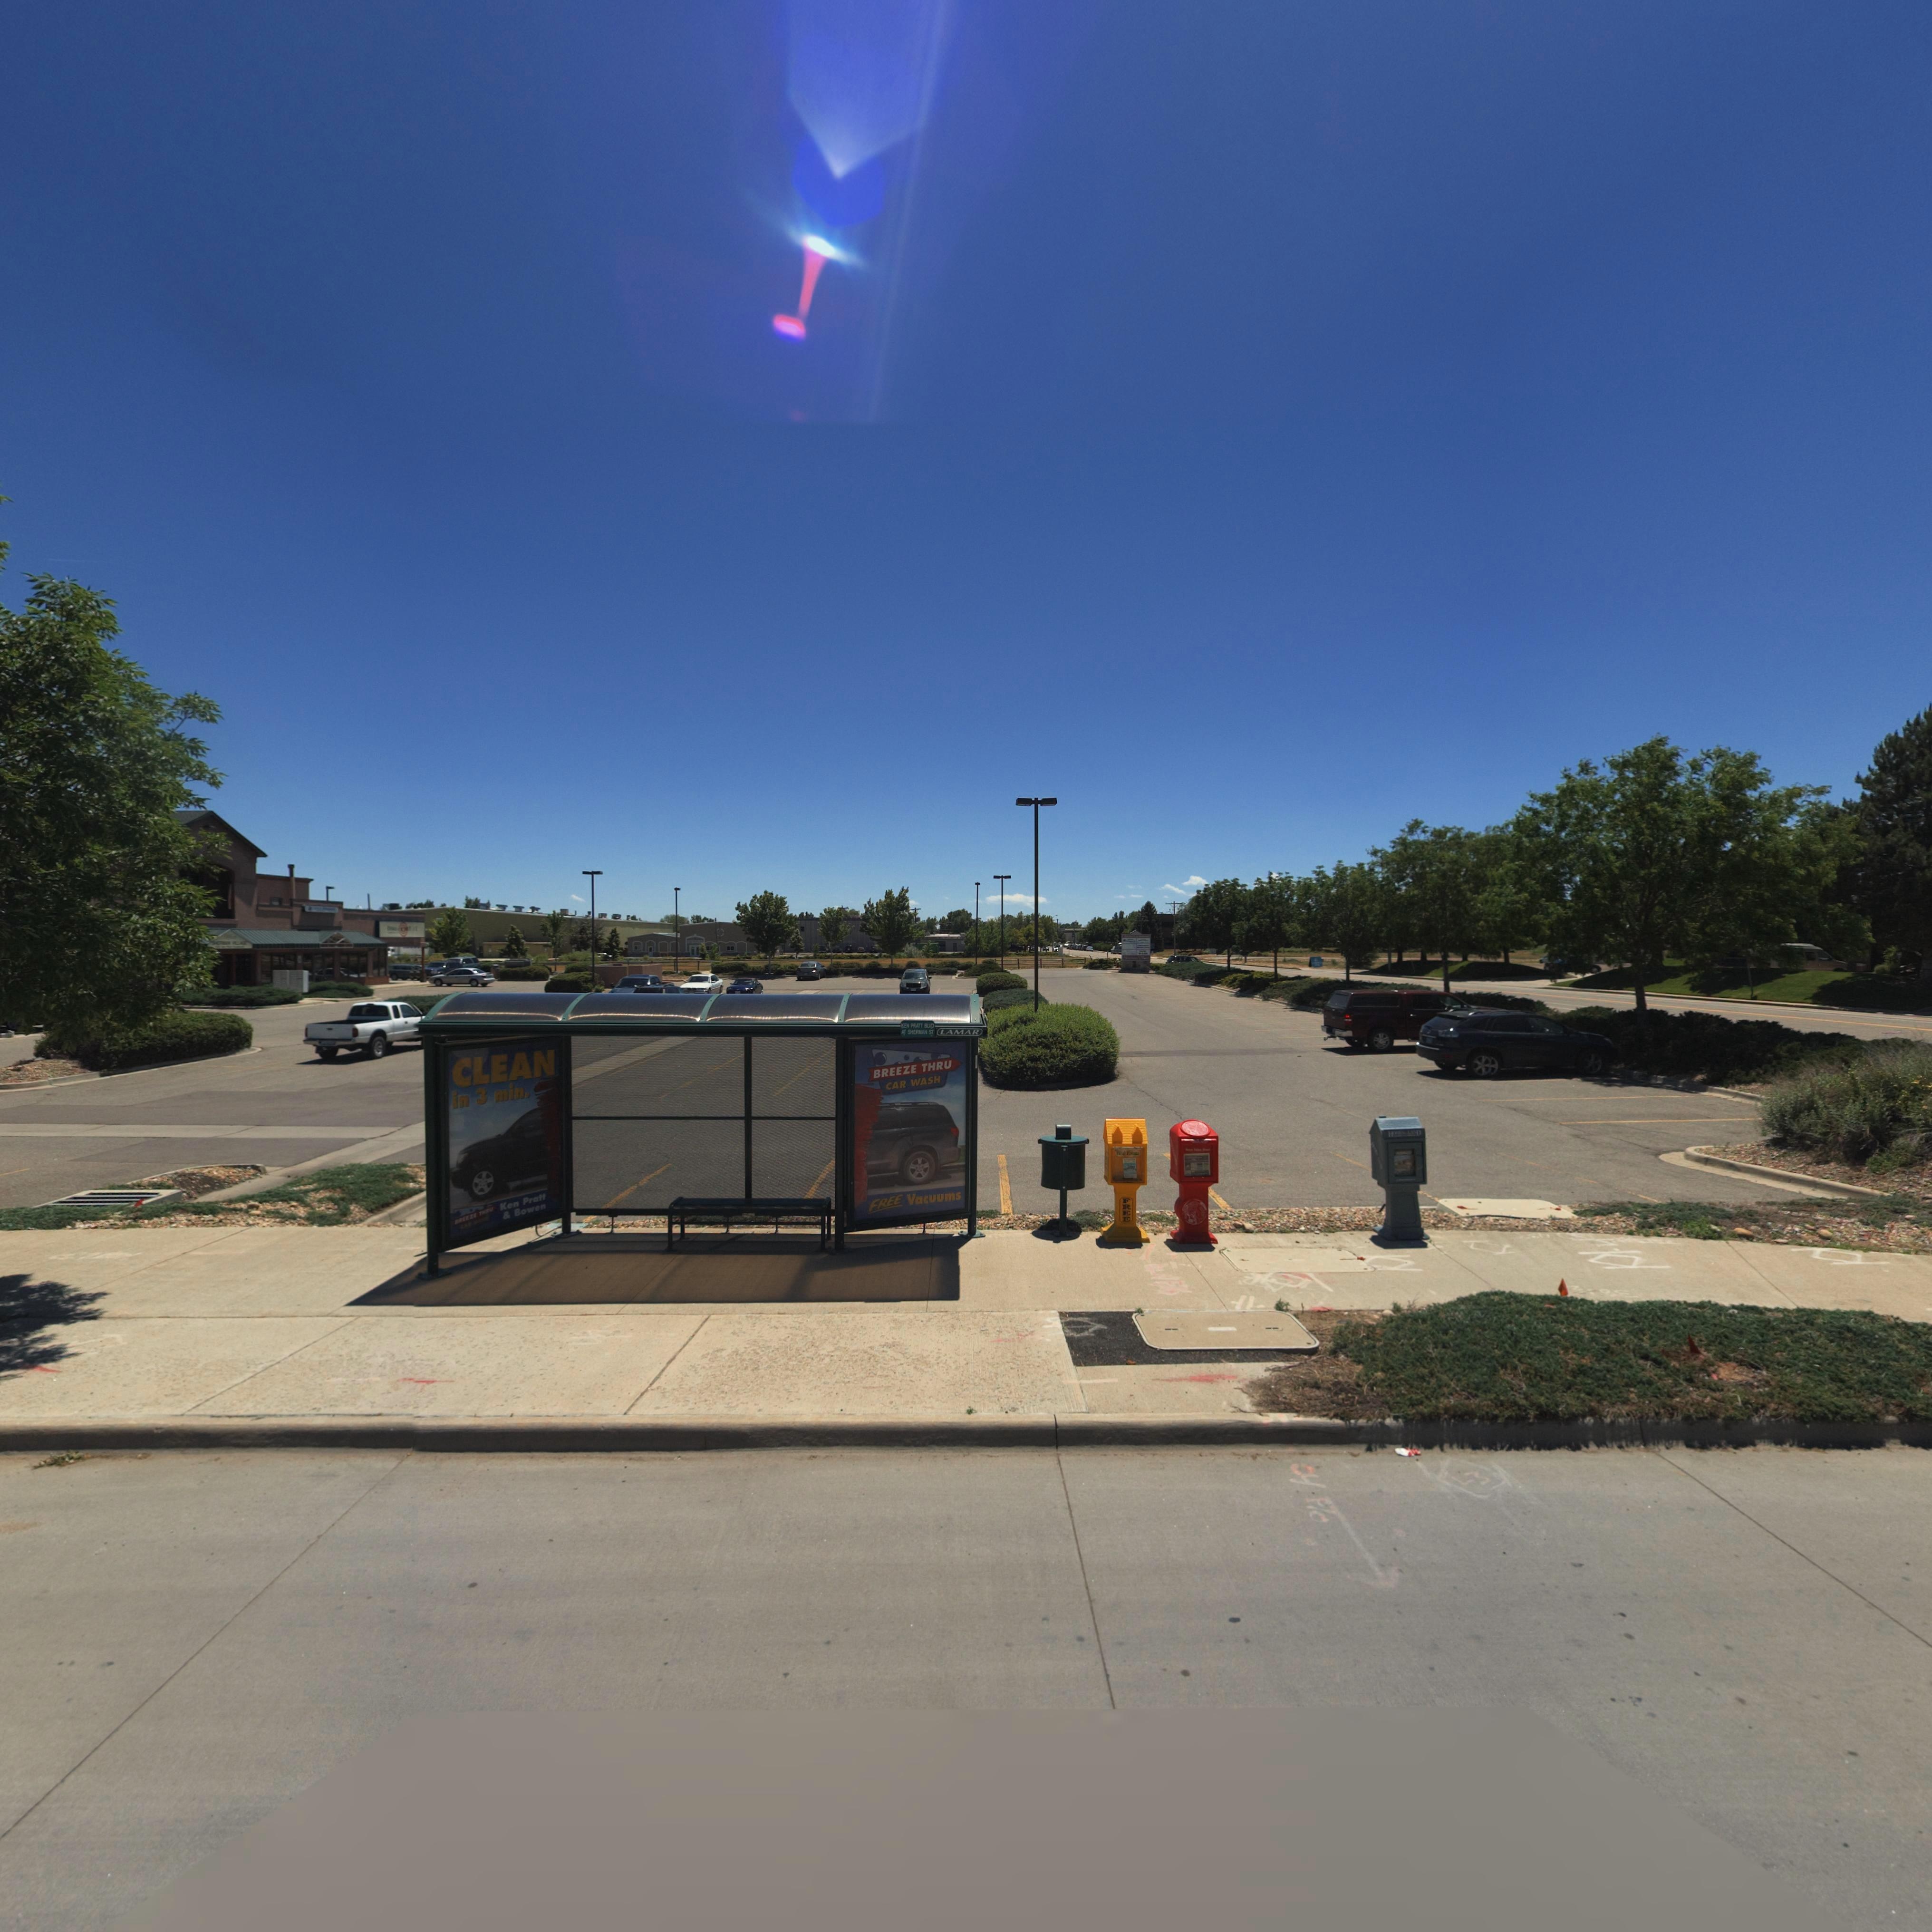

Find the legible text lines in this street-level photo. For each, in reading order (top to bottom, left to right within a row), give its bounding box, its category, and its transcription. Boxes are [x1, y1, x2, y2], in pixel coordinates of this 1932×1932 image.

[901, 1023, 934, 1028] StreetName: KEN PRATT BLVD
[907, 1029, 934, 1034] StreetName: SHERMAN ST
[873, 1060, 952, 1078] BusinessName: BREEZE THRU
[885, 1075, 941, 1090] BusinessName: CAR WASH